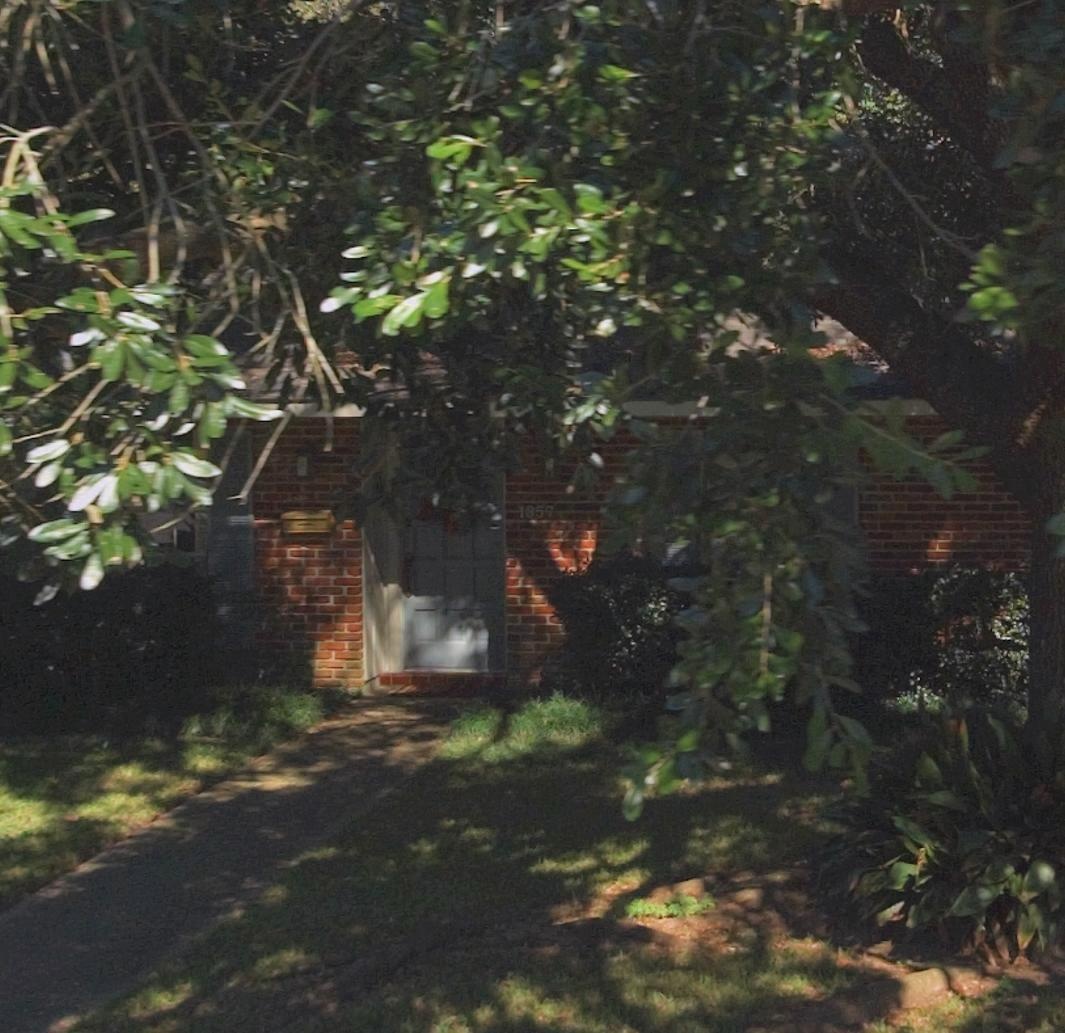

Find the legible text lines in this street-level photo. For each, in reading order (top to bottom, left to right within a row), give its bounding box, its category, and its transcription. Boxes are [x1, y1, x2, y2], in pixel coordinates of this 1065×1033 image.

[516, 503, 556, 522] StreetNumber: 1857